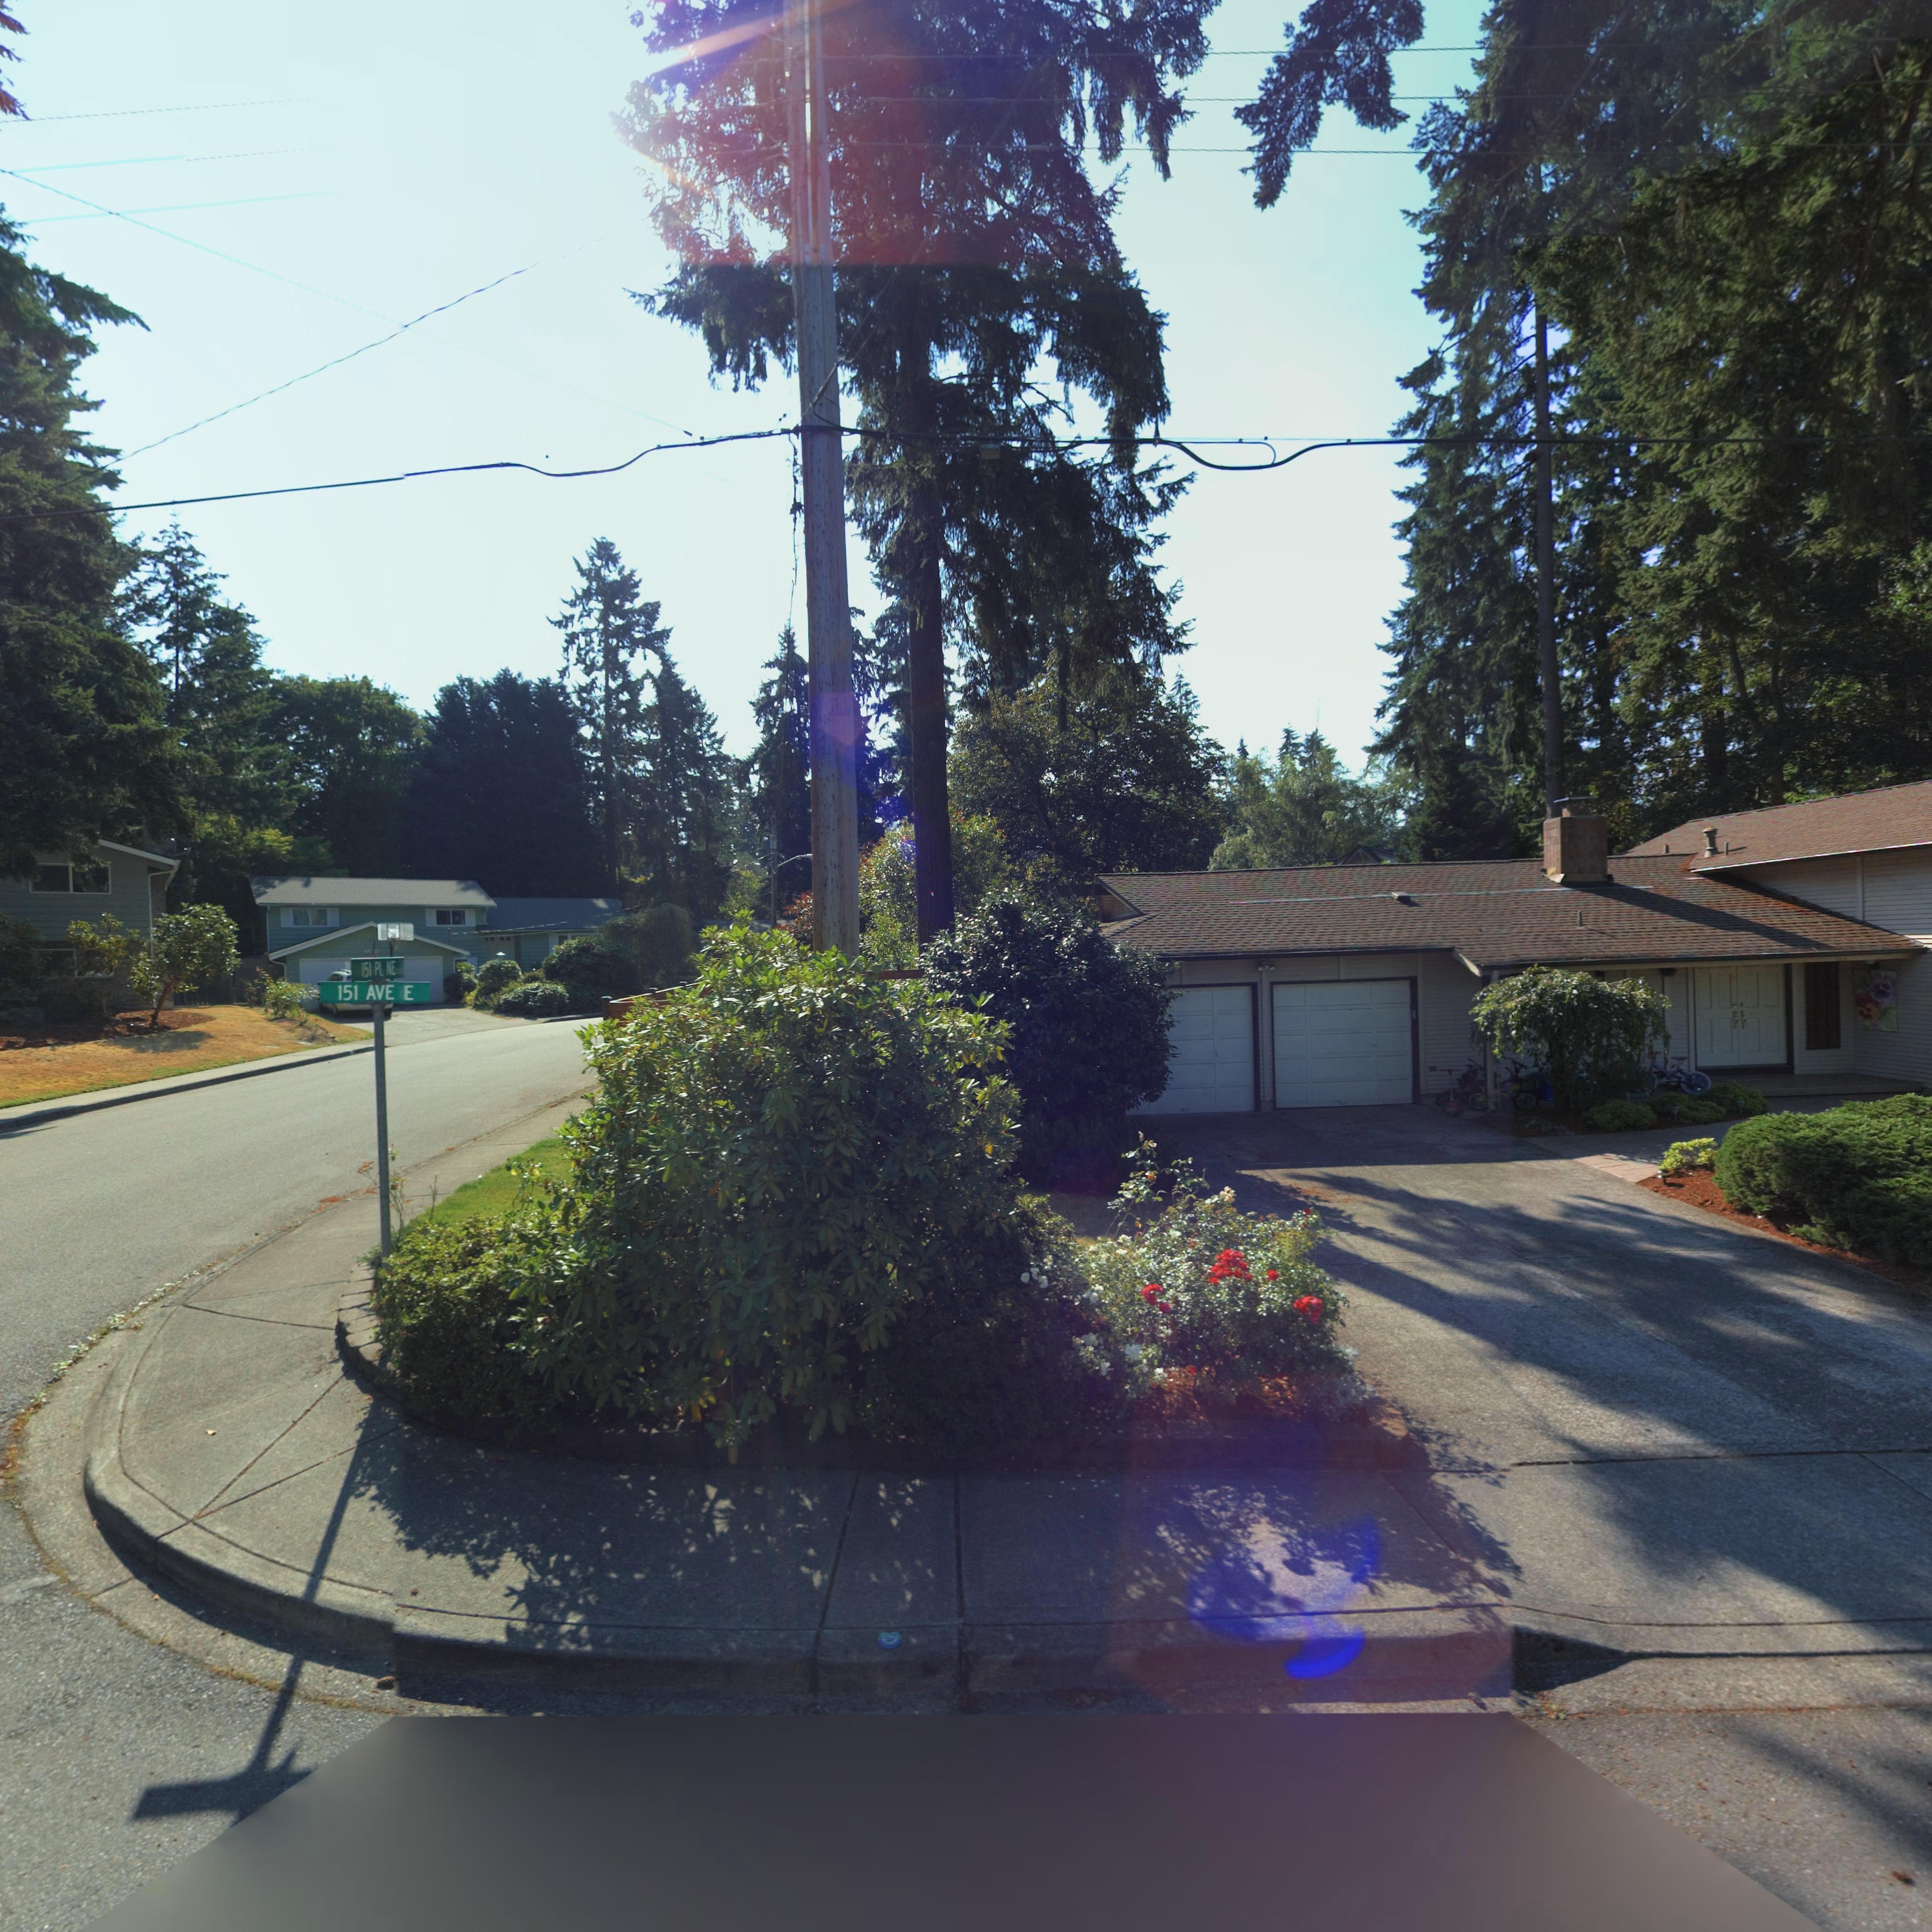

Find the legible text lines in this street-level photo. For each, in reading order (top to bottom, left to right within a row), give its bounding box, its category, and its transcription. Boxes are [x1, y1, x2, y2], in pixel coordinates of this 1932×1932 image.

[361, 960, 396, 978] StreetName: 151 PL NE
[337, 984, 414, 1000] StreetName: 151 AVE E